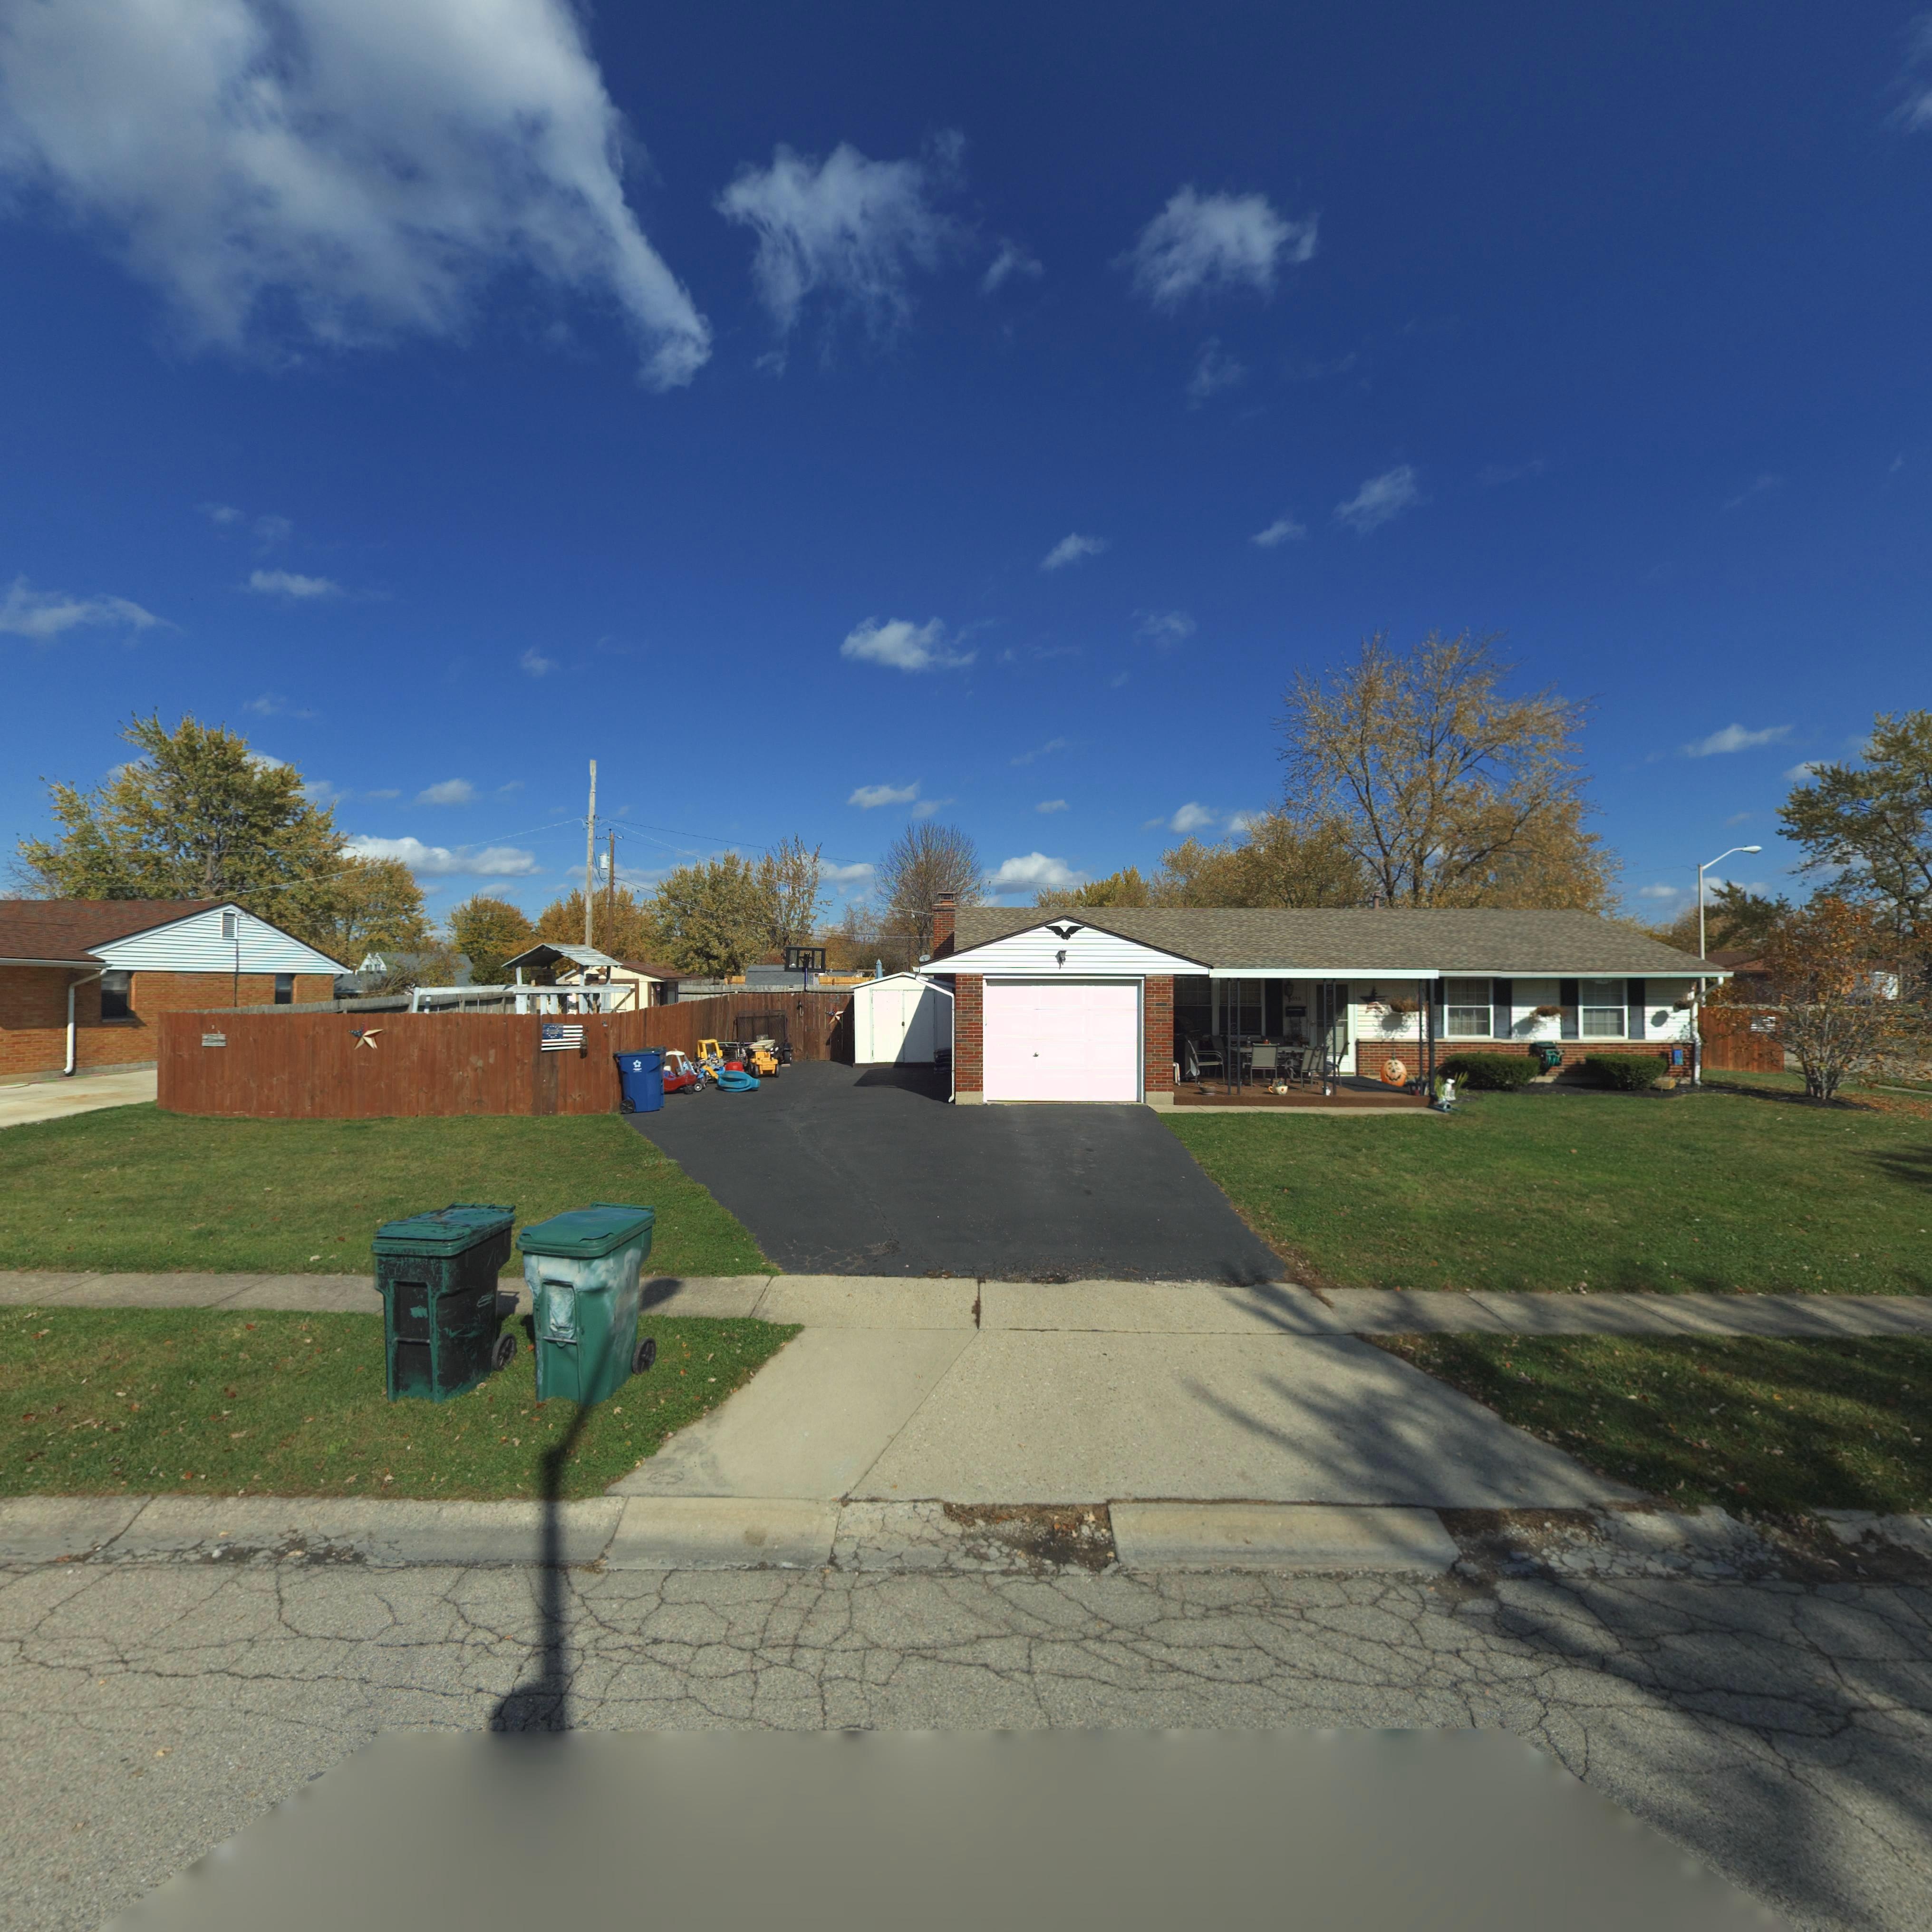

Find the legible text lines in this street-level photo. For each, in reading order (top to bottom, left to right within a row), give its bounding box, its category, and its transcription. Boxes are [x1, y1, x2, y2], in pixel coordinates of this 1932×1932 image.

[1288, 995, 1301, 1001] StreetNumber: 65*5